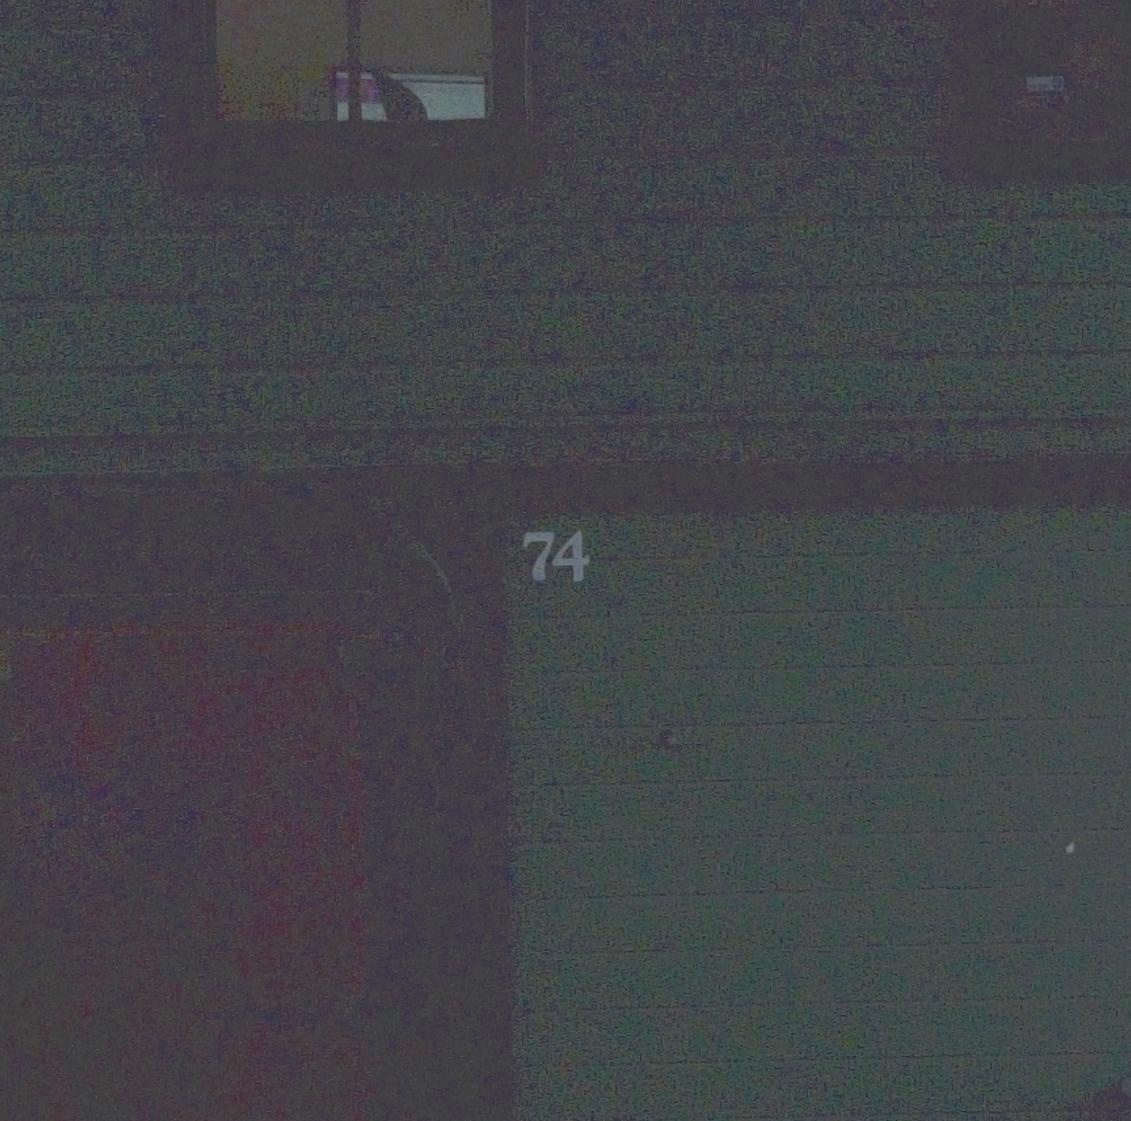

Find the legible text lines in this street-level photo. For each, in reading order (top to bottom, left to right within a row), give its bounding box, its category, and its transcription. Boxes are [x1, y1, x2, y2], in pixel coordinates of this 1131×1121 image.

[522, 529, 591, 583] StreetNumber: 74